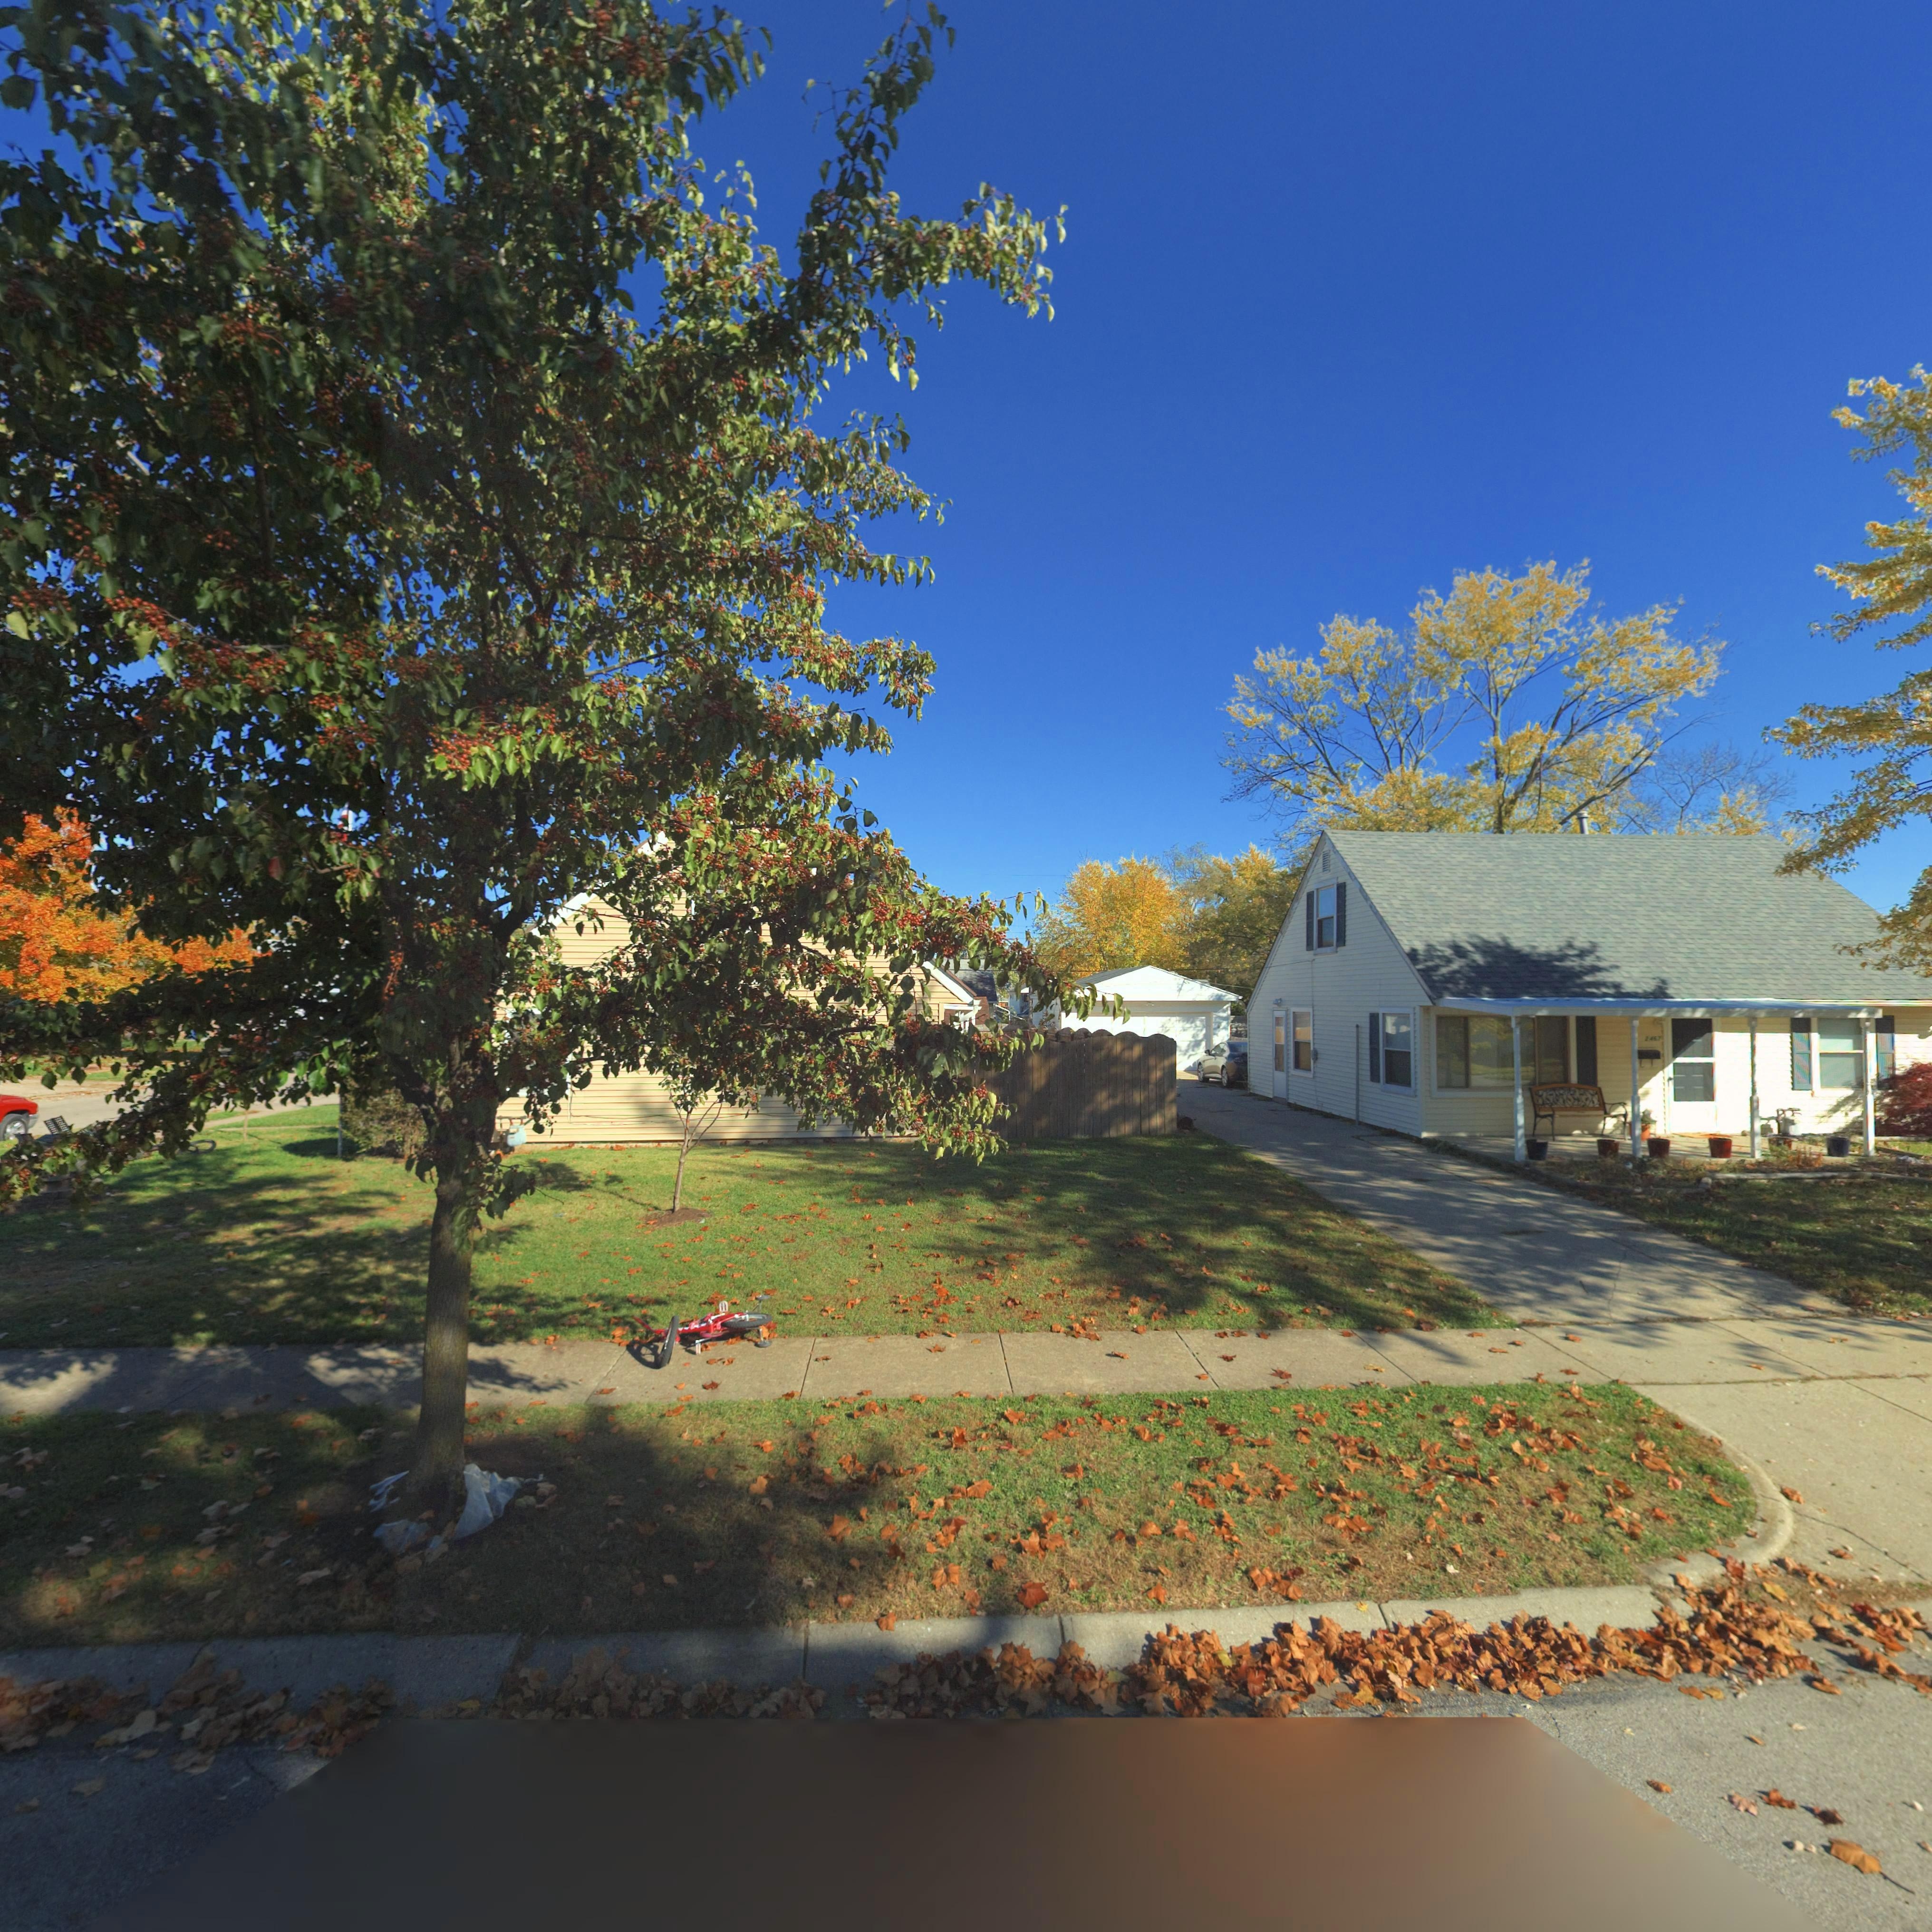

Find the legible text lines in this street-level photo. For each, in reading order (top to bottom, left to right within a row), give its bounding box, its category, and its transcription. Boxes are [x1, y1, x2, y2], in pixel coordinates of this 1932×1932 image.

[1644, 1035, 1662, 1041] StreetNumber: 2467